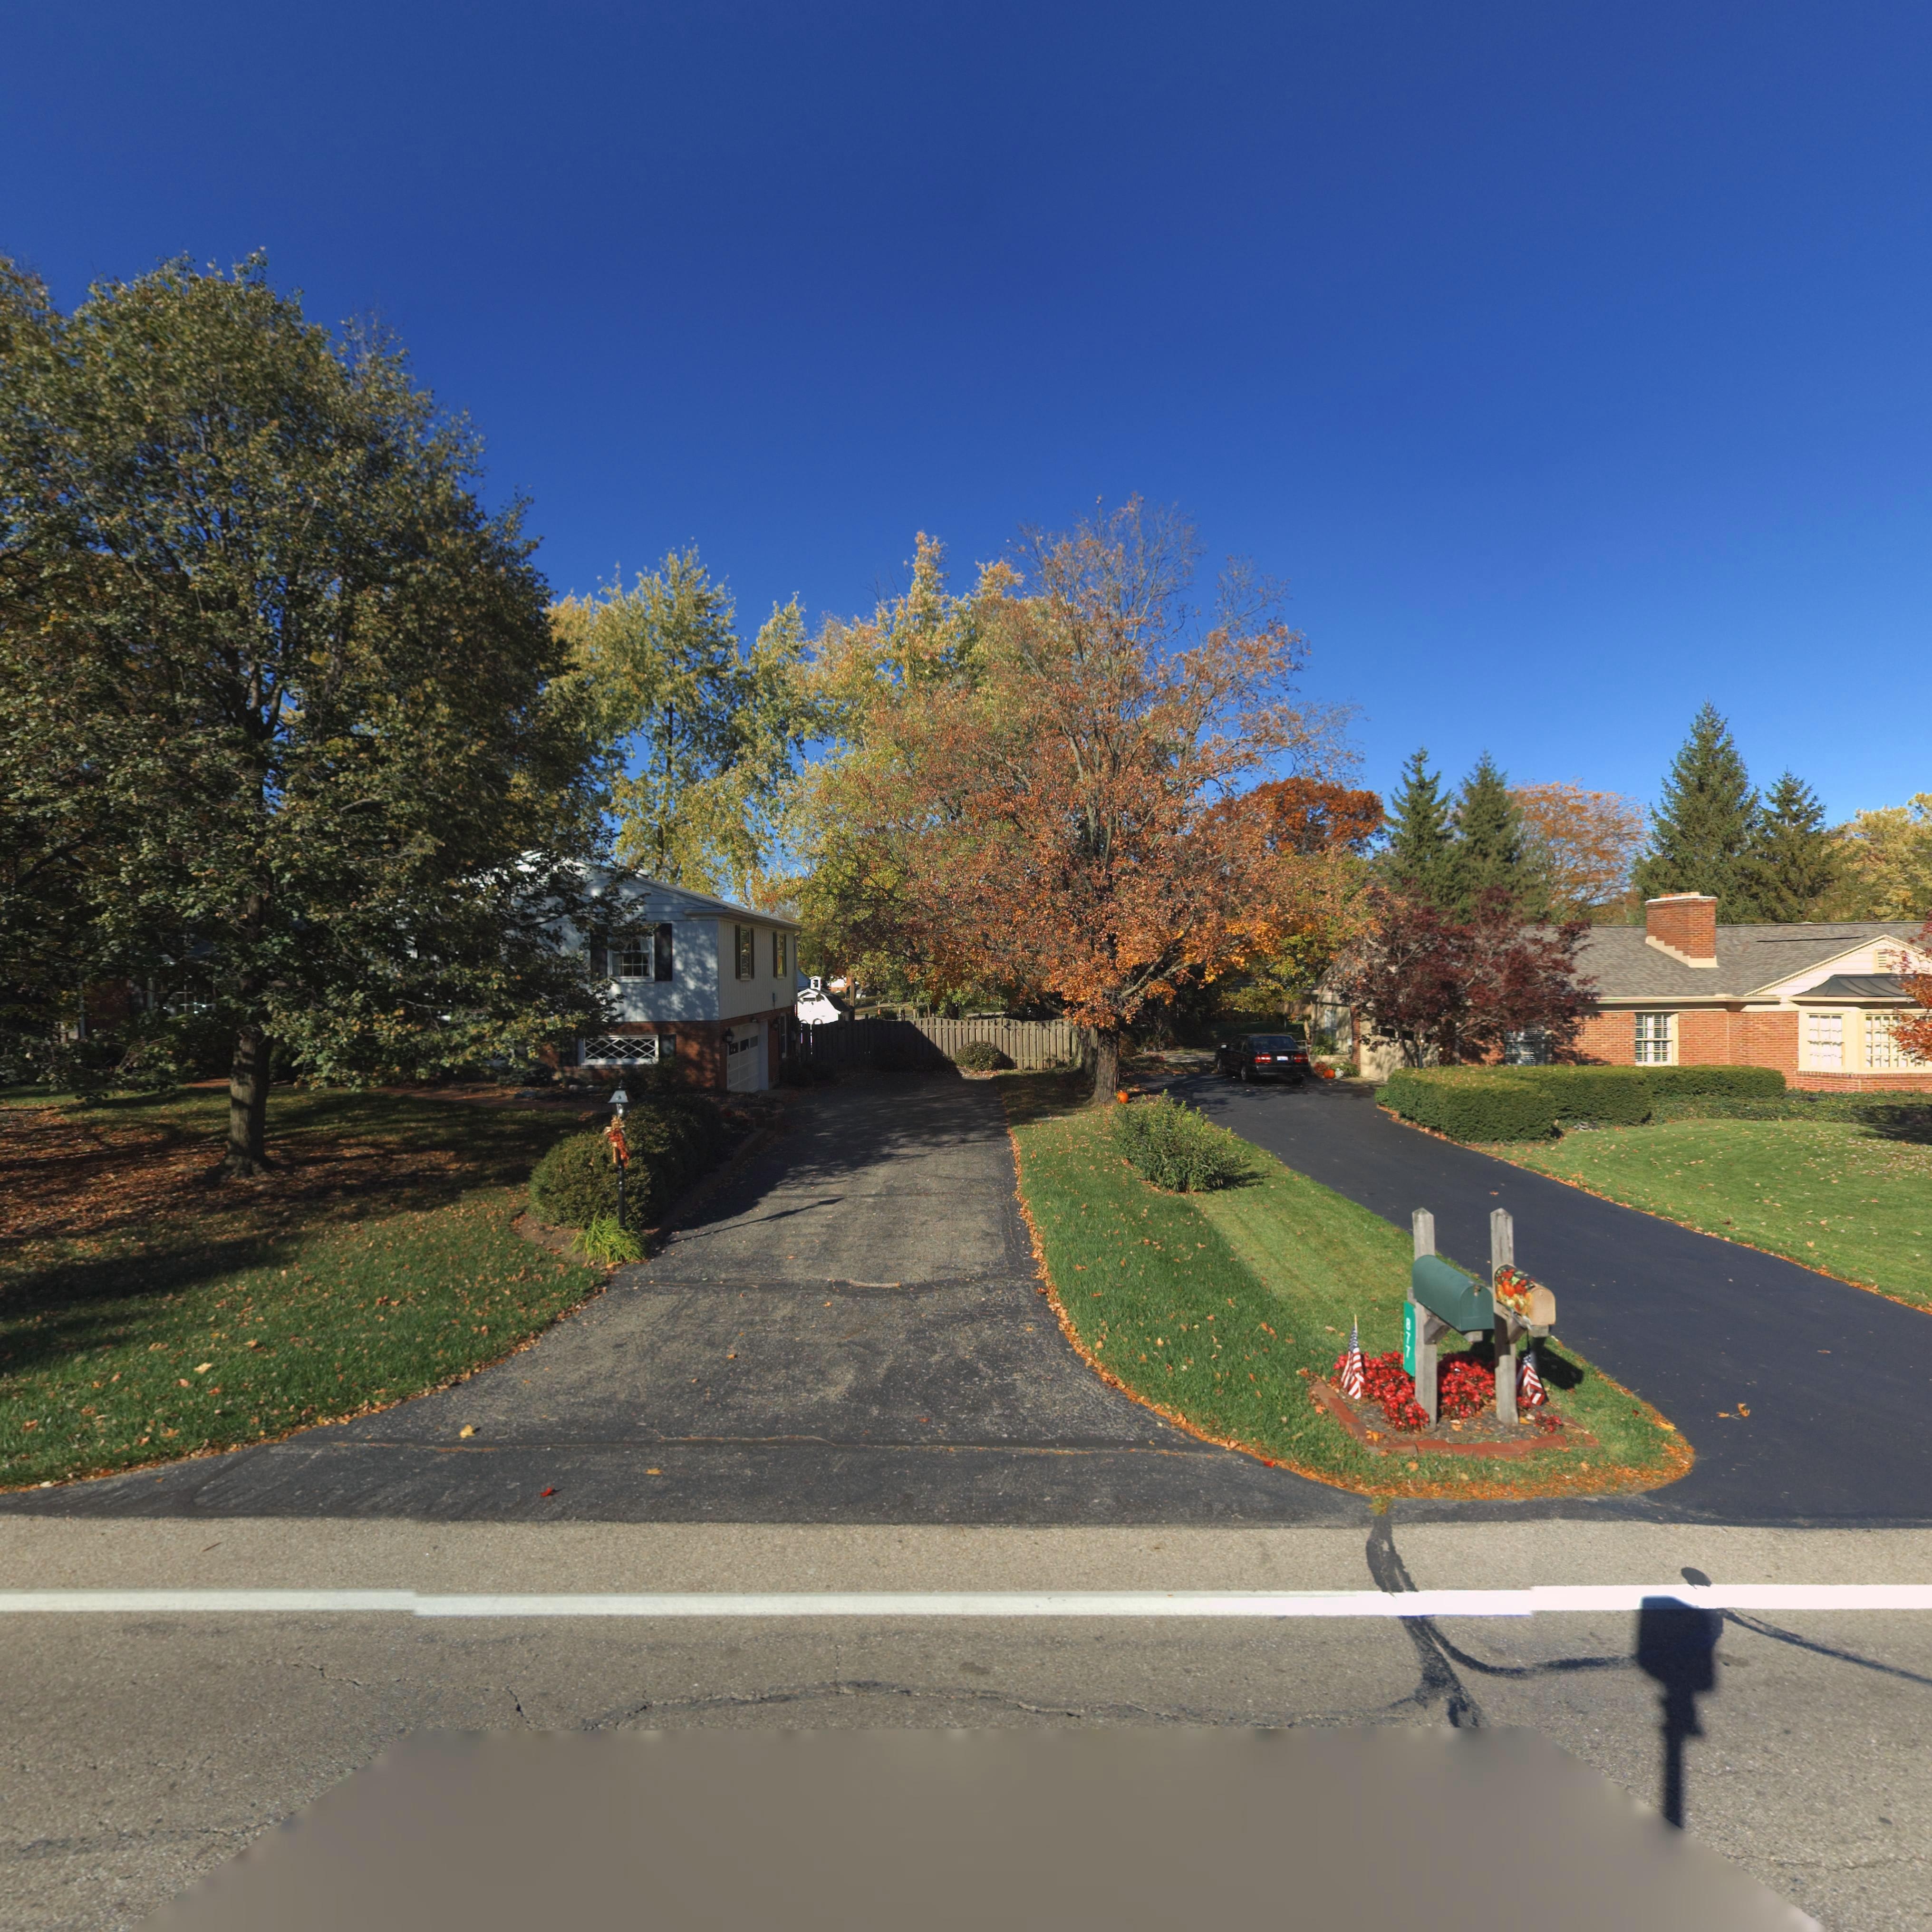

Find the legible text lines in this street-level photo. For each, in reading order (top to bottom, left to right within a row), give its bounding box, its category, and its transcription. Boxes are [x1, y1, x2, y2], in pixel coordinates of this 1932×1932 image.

[1404, 1316, 1412, 1359] StreetNumber: 877